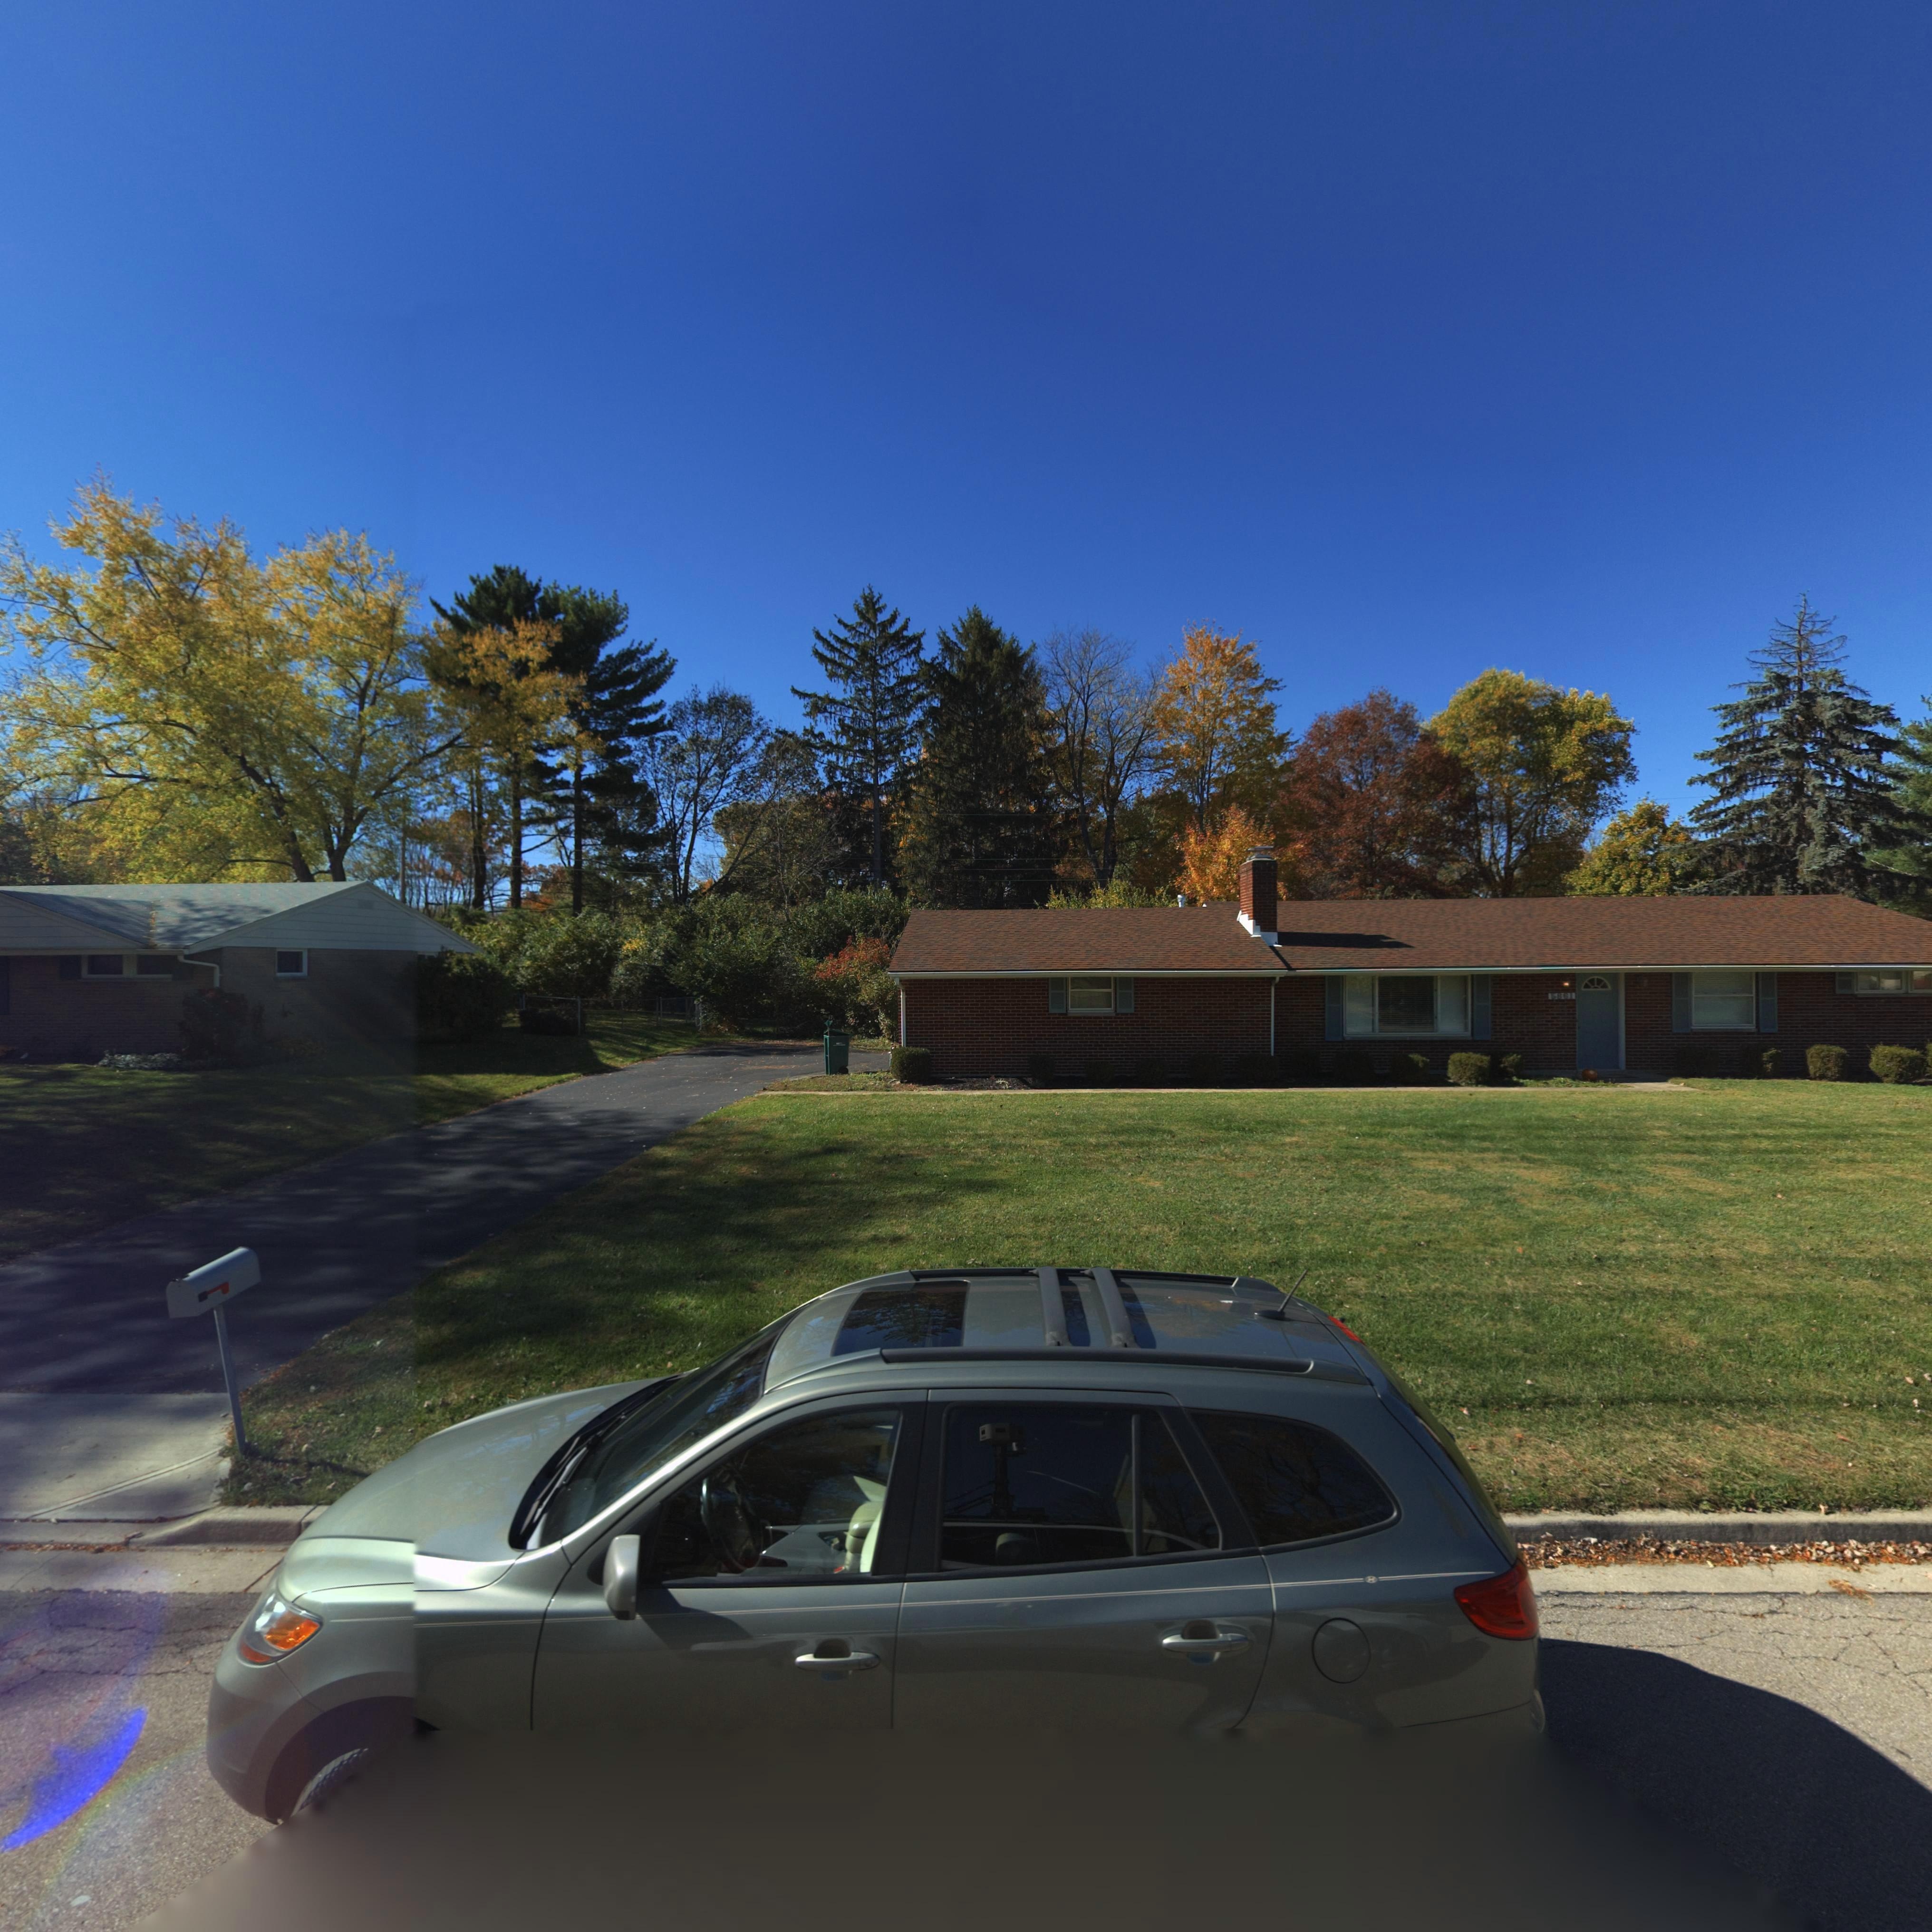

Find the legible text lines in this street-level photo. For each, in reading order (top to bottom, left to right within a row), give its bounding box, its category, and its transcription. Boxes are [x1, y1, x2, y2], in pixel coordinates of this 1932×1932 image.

[1550, 992, 1574, 1000] StreetNumber: 5861